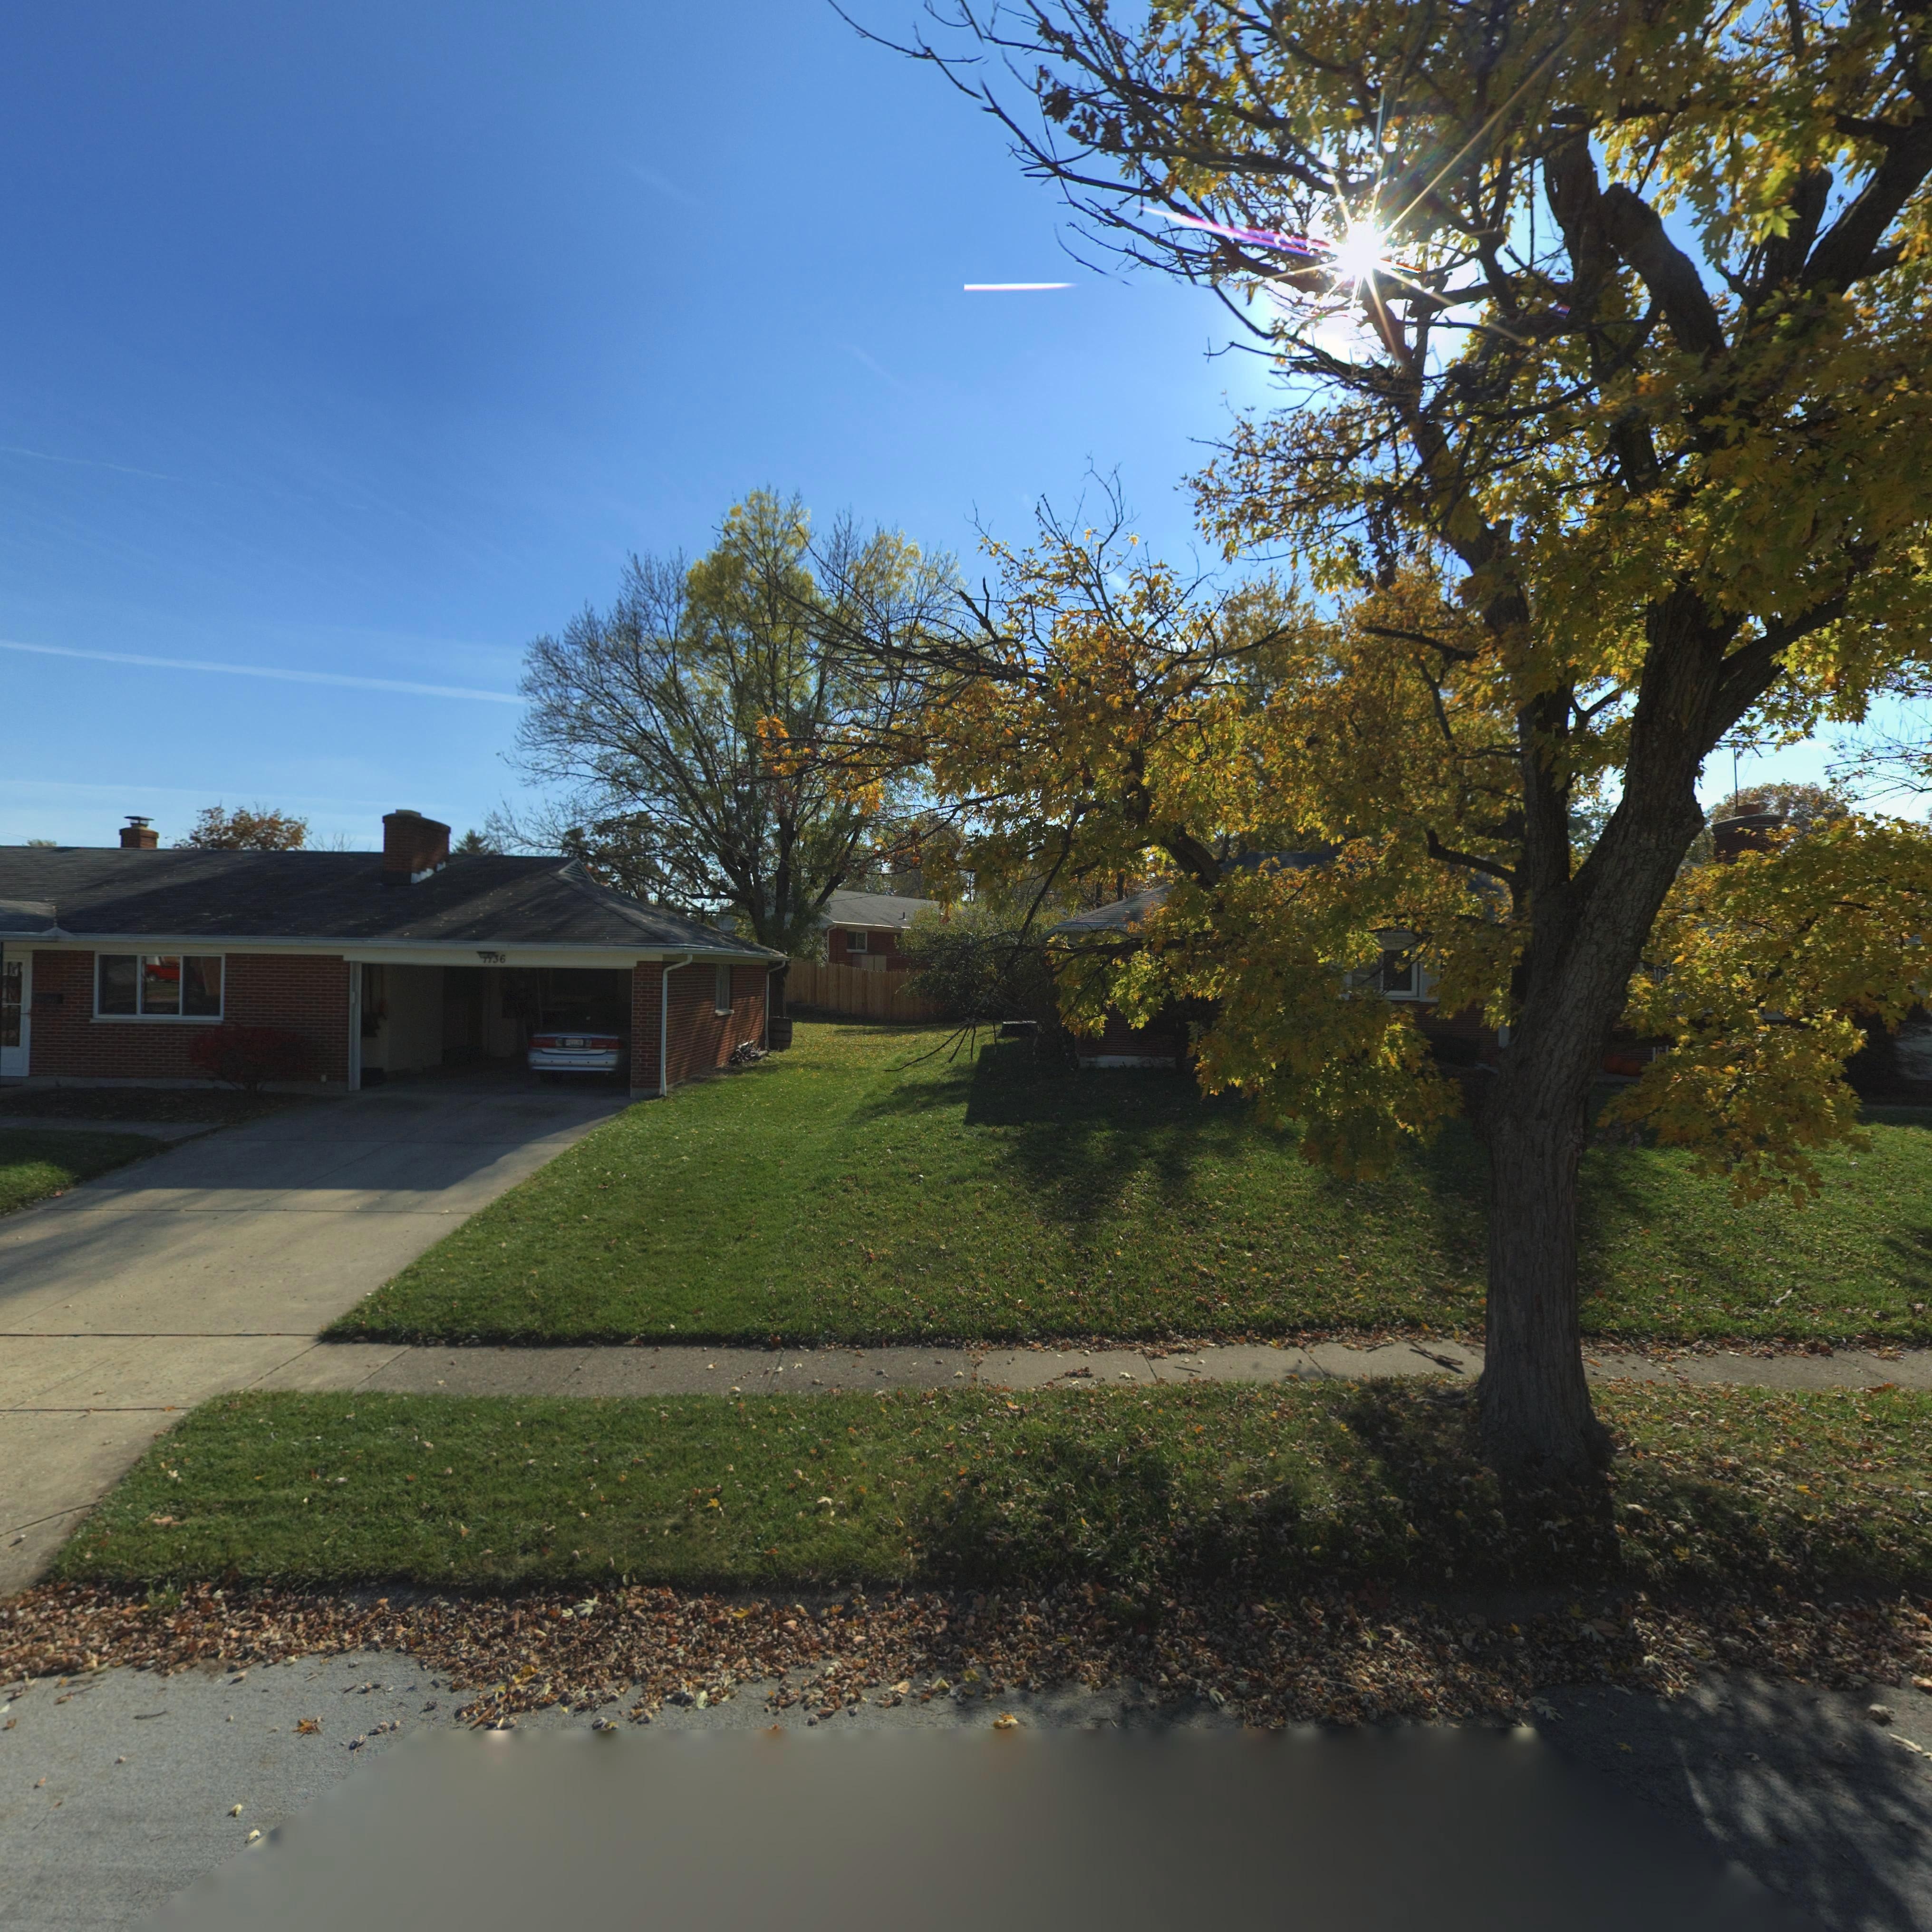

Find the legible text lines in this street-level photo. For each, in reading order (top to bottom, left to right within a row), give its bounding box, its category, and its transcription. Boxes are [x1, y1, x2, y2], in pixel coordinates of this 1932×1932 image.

[491, 953, 507, 965] StreetNumber: 36